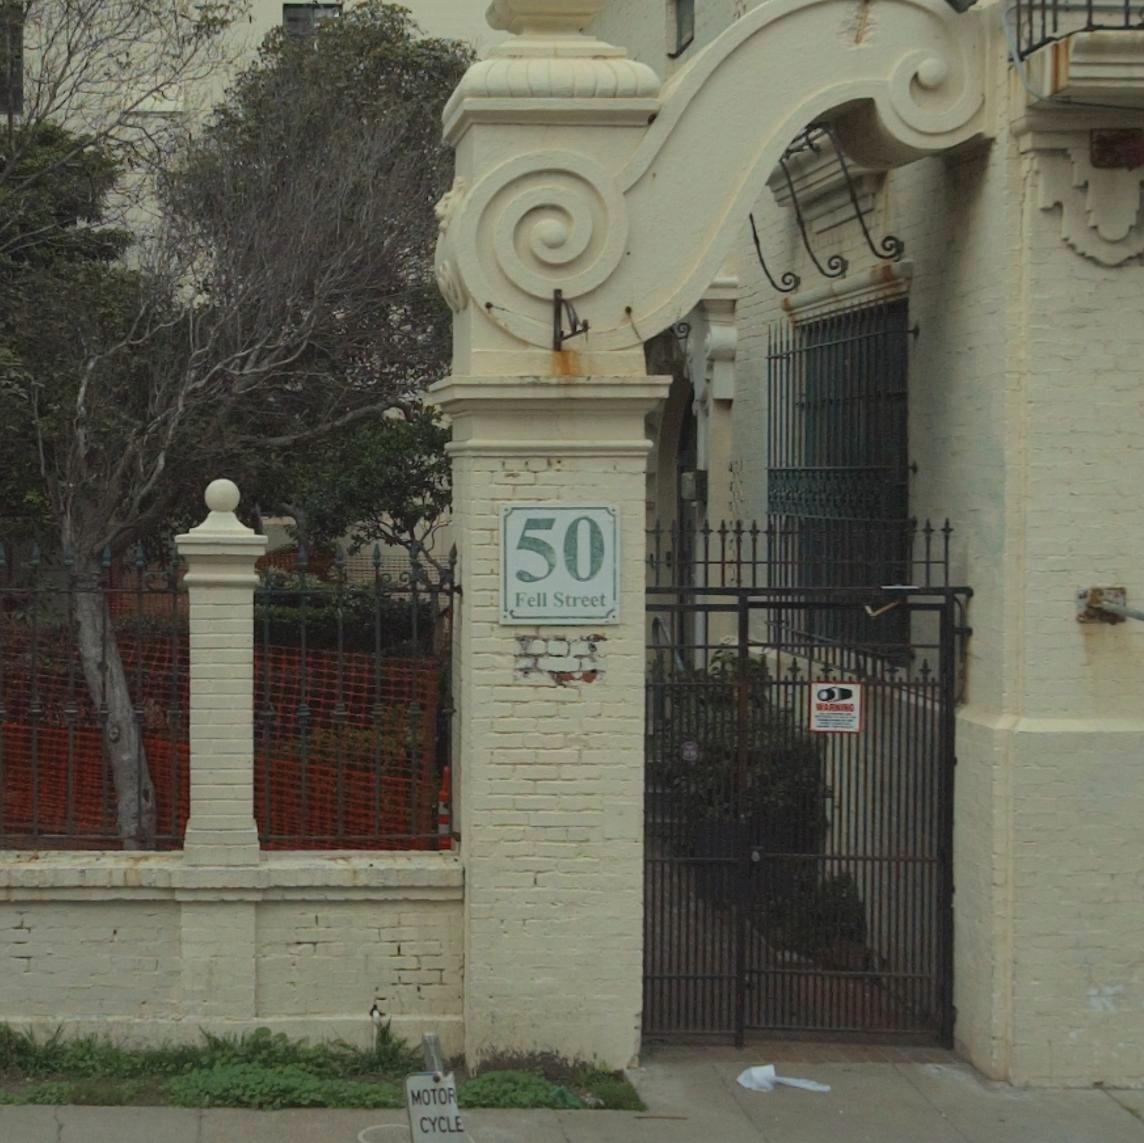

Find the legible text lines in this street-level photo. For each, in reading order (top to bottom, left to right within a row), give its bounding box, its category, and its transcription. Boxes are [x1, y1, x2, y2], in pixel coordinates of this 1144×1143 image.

[515, 516, 607, 584] StreetNumber: 50
[514, 589, 606, 608] StreetName: Fell Street
[408, 1087, 448, 1107] None: MOTO
[418, 1114, 463, 1134] None: CYCLE